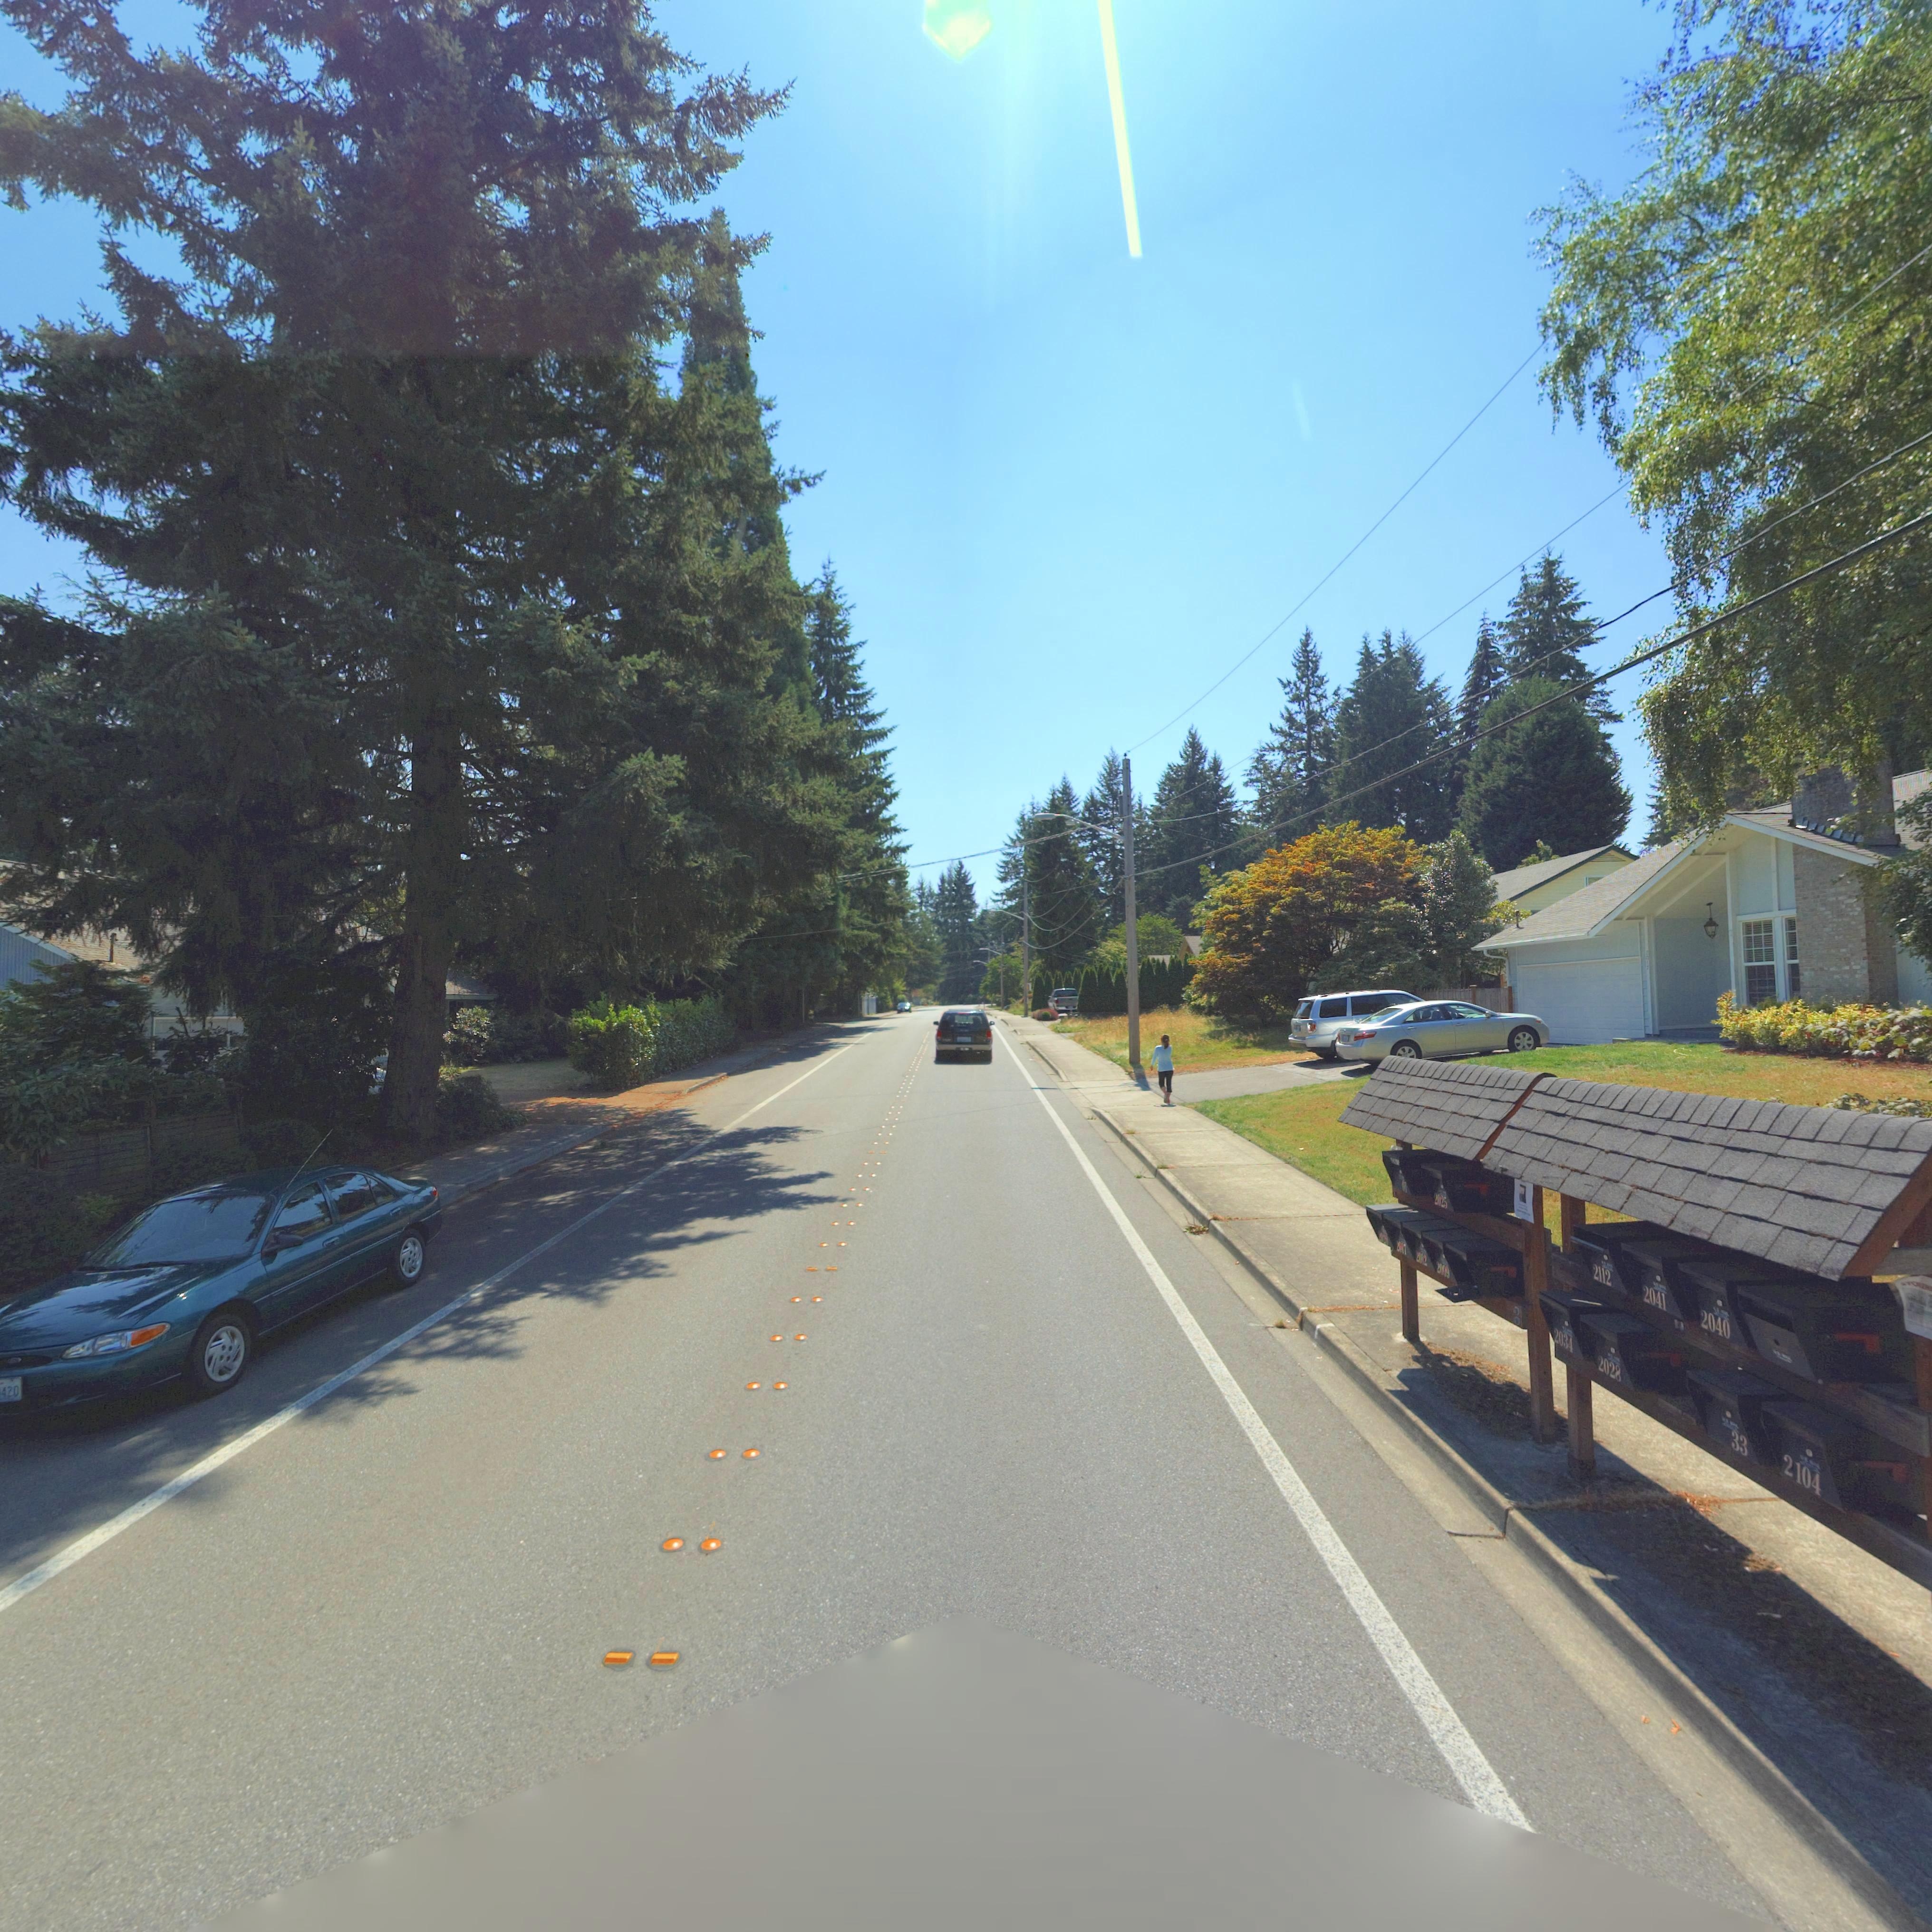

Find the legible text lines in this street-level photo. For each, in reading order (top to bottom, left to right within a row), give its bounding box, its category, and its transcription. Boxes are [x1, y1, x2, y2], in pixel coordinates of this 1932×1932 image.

[1432, 1192, 1449, 1209] StreetNumber: 2025
[1395, 1240, 1408, 1256] StreetNumber: 2017
[1436, 1262, 1450, 1279] StreetNumber: 2009
[1592, 1263, 1612, 1288] StreetNumber: 2112
[1642, 1285, 1667, 1312] StreetNumber: *41
[1553, 1327, 1574, 1354] StreetNumber: 2034
[1597, 1354, 1622, 1383] StreetNumber: 2028
[1730, 1430, 1748, 1458] StreetNumber: 33
[1782, 1453, 1823, 1497] StreetNumber: 2104